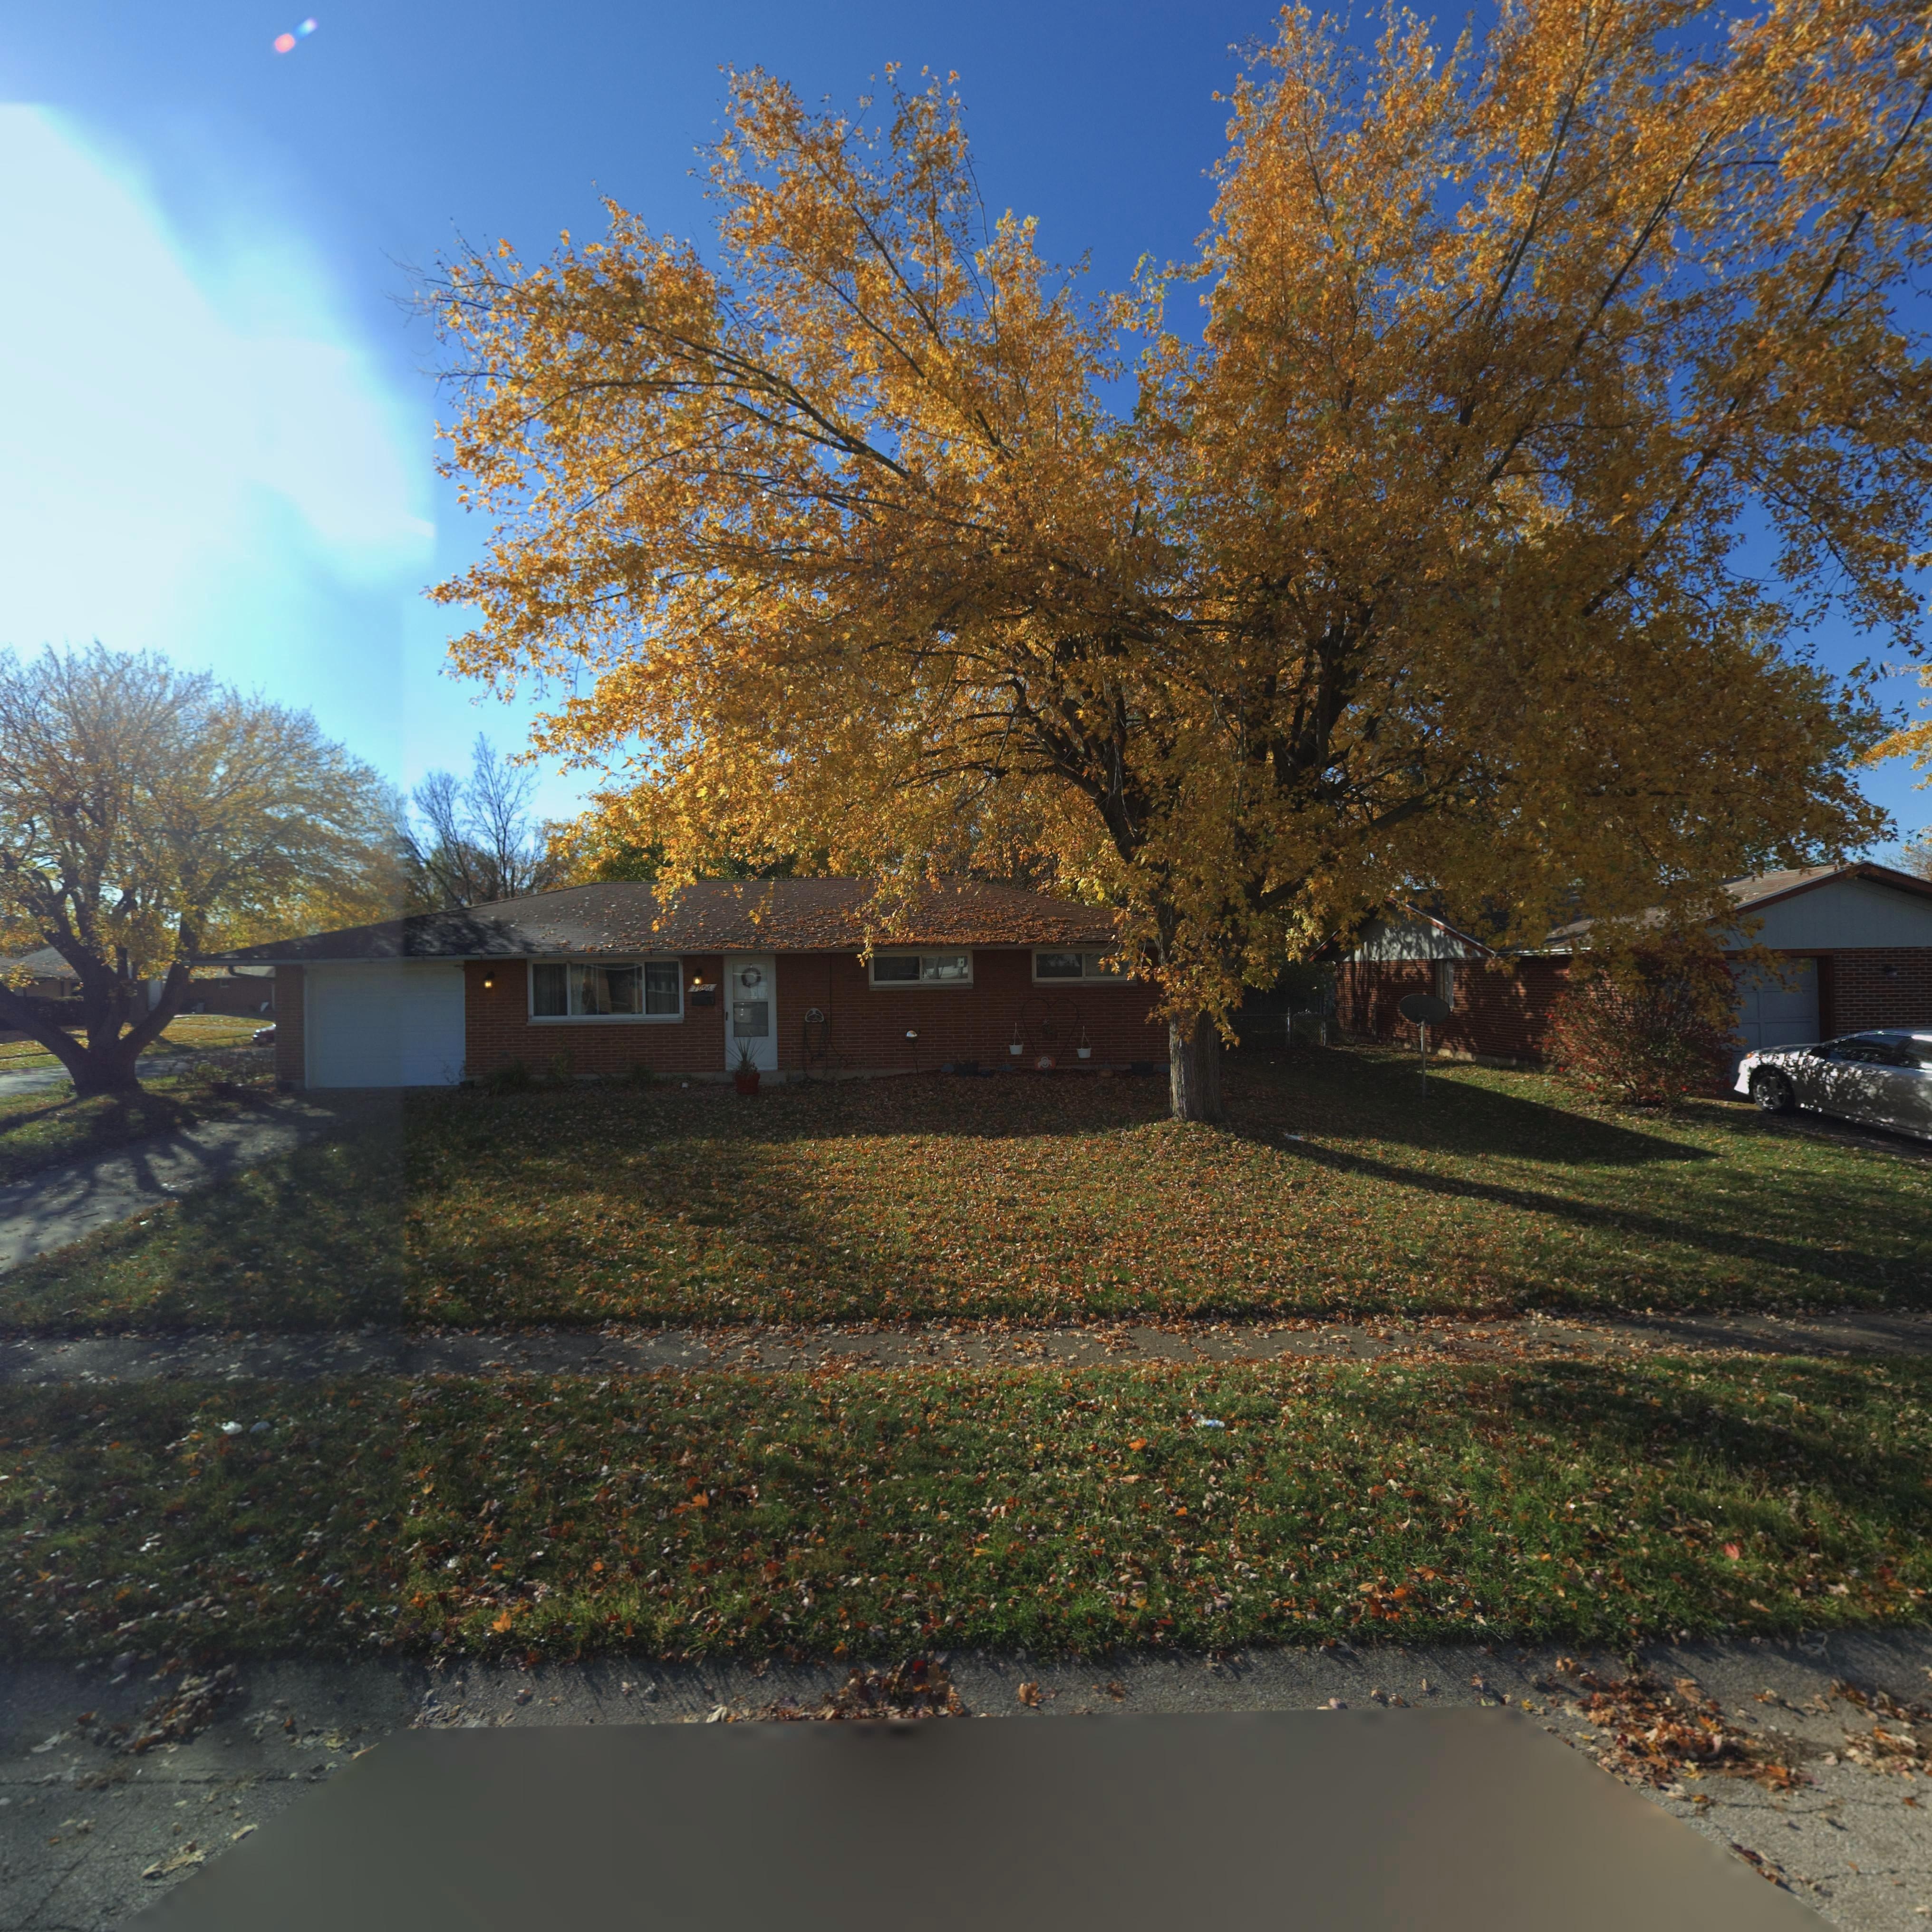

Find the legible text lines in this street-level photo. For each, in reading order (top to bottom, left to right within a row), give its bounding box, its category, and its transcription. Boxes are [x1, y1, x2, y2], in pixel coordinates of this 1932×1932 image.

[693, 985, 712, 992] StreetNumber: 7996